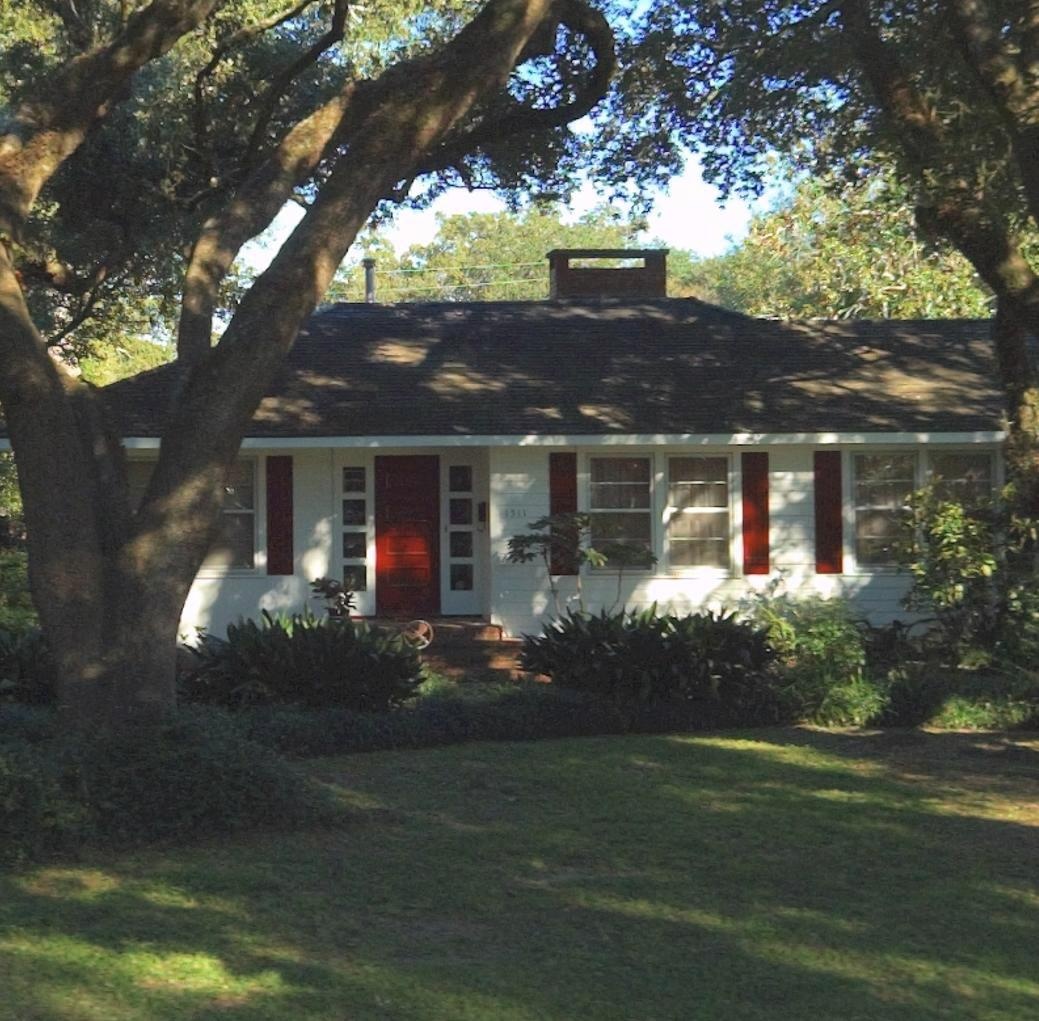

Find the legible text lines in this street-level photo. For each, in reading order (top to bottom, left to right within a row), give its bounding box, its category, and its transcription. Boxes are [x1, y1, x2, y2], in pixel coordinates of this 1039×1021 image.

[503, 508, 528, 519] StreetNumber: **11